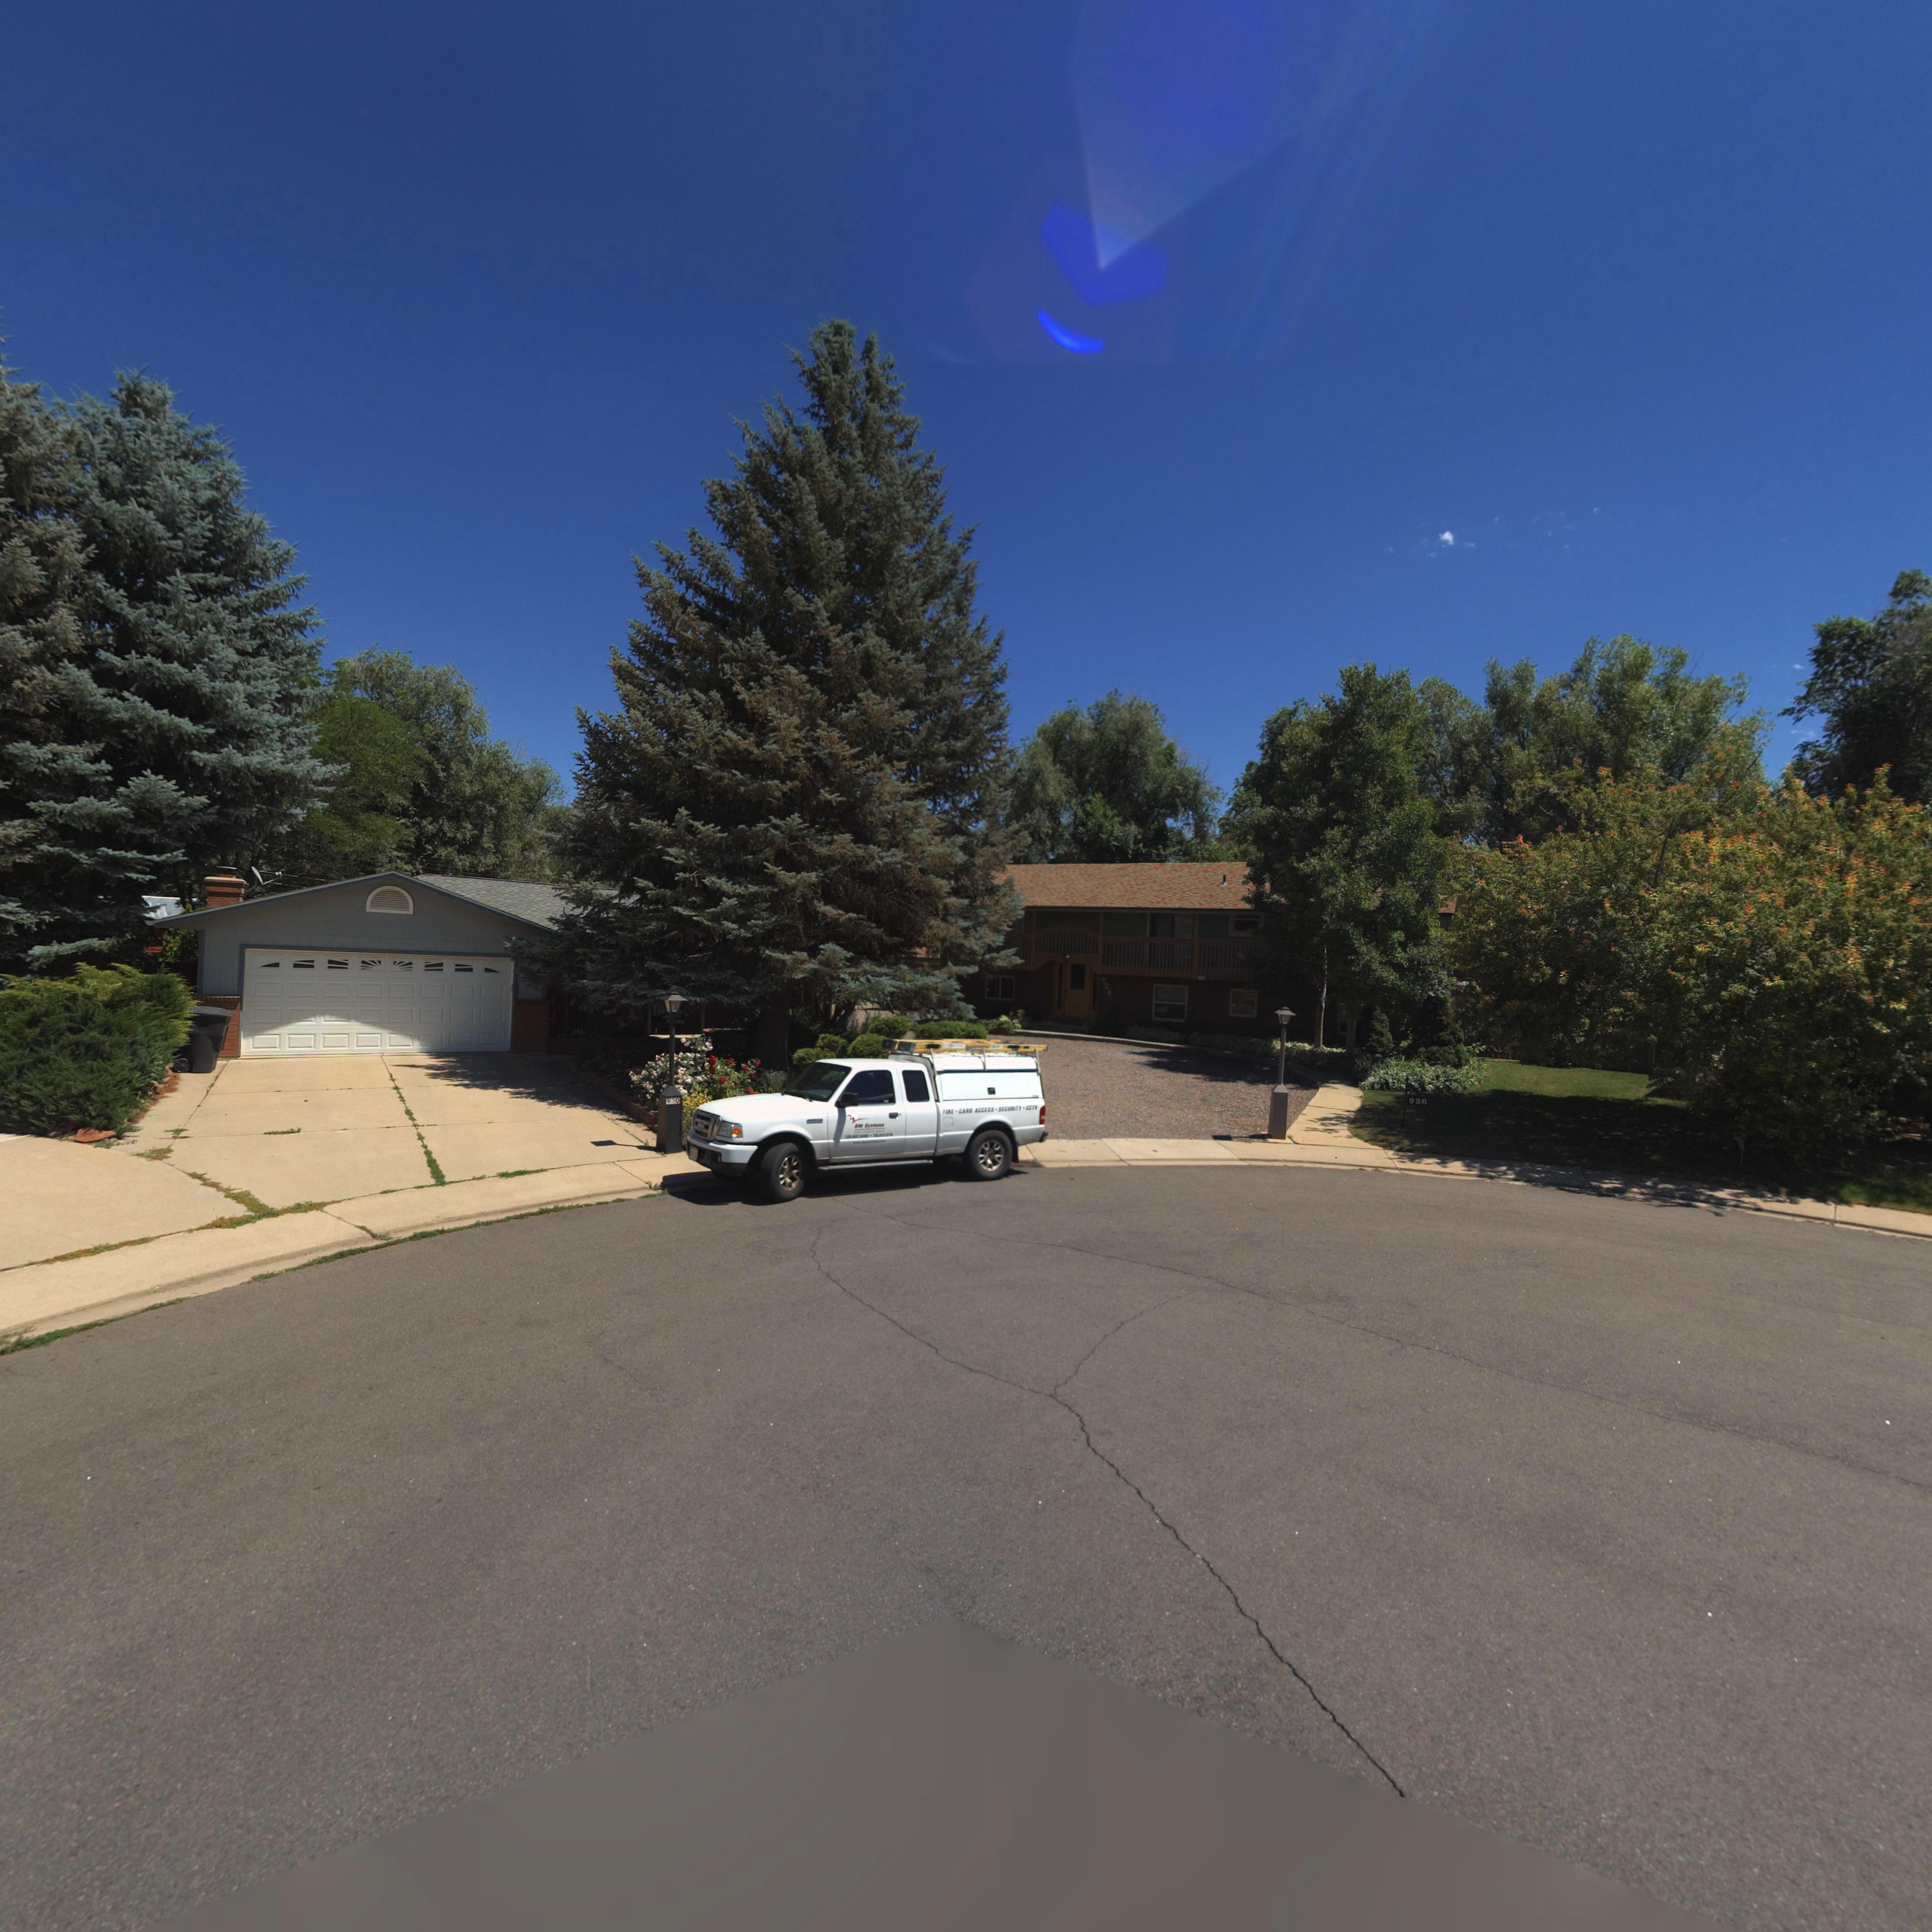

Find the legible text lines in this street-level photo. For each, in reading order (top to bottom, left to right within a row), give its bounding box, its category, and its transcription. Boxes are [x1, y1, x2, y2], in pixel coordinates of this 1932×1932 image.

[1101, 976, 1112, 995] StreetNumber: 926
[666, 1098, 679, 1104] StreetNumber: 930
[1409, 1098, 1427, 1105] StreetNumber: 926